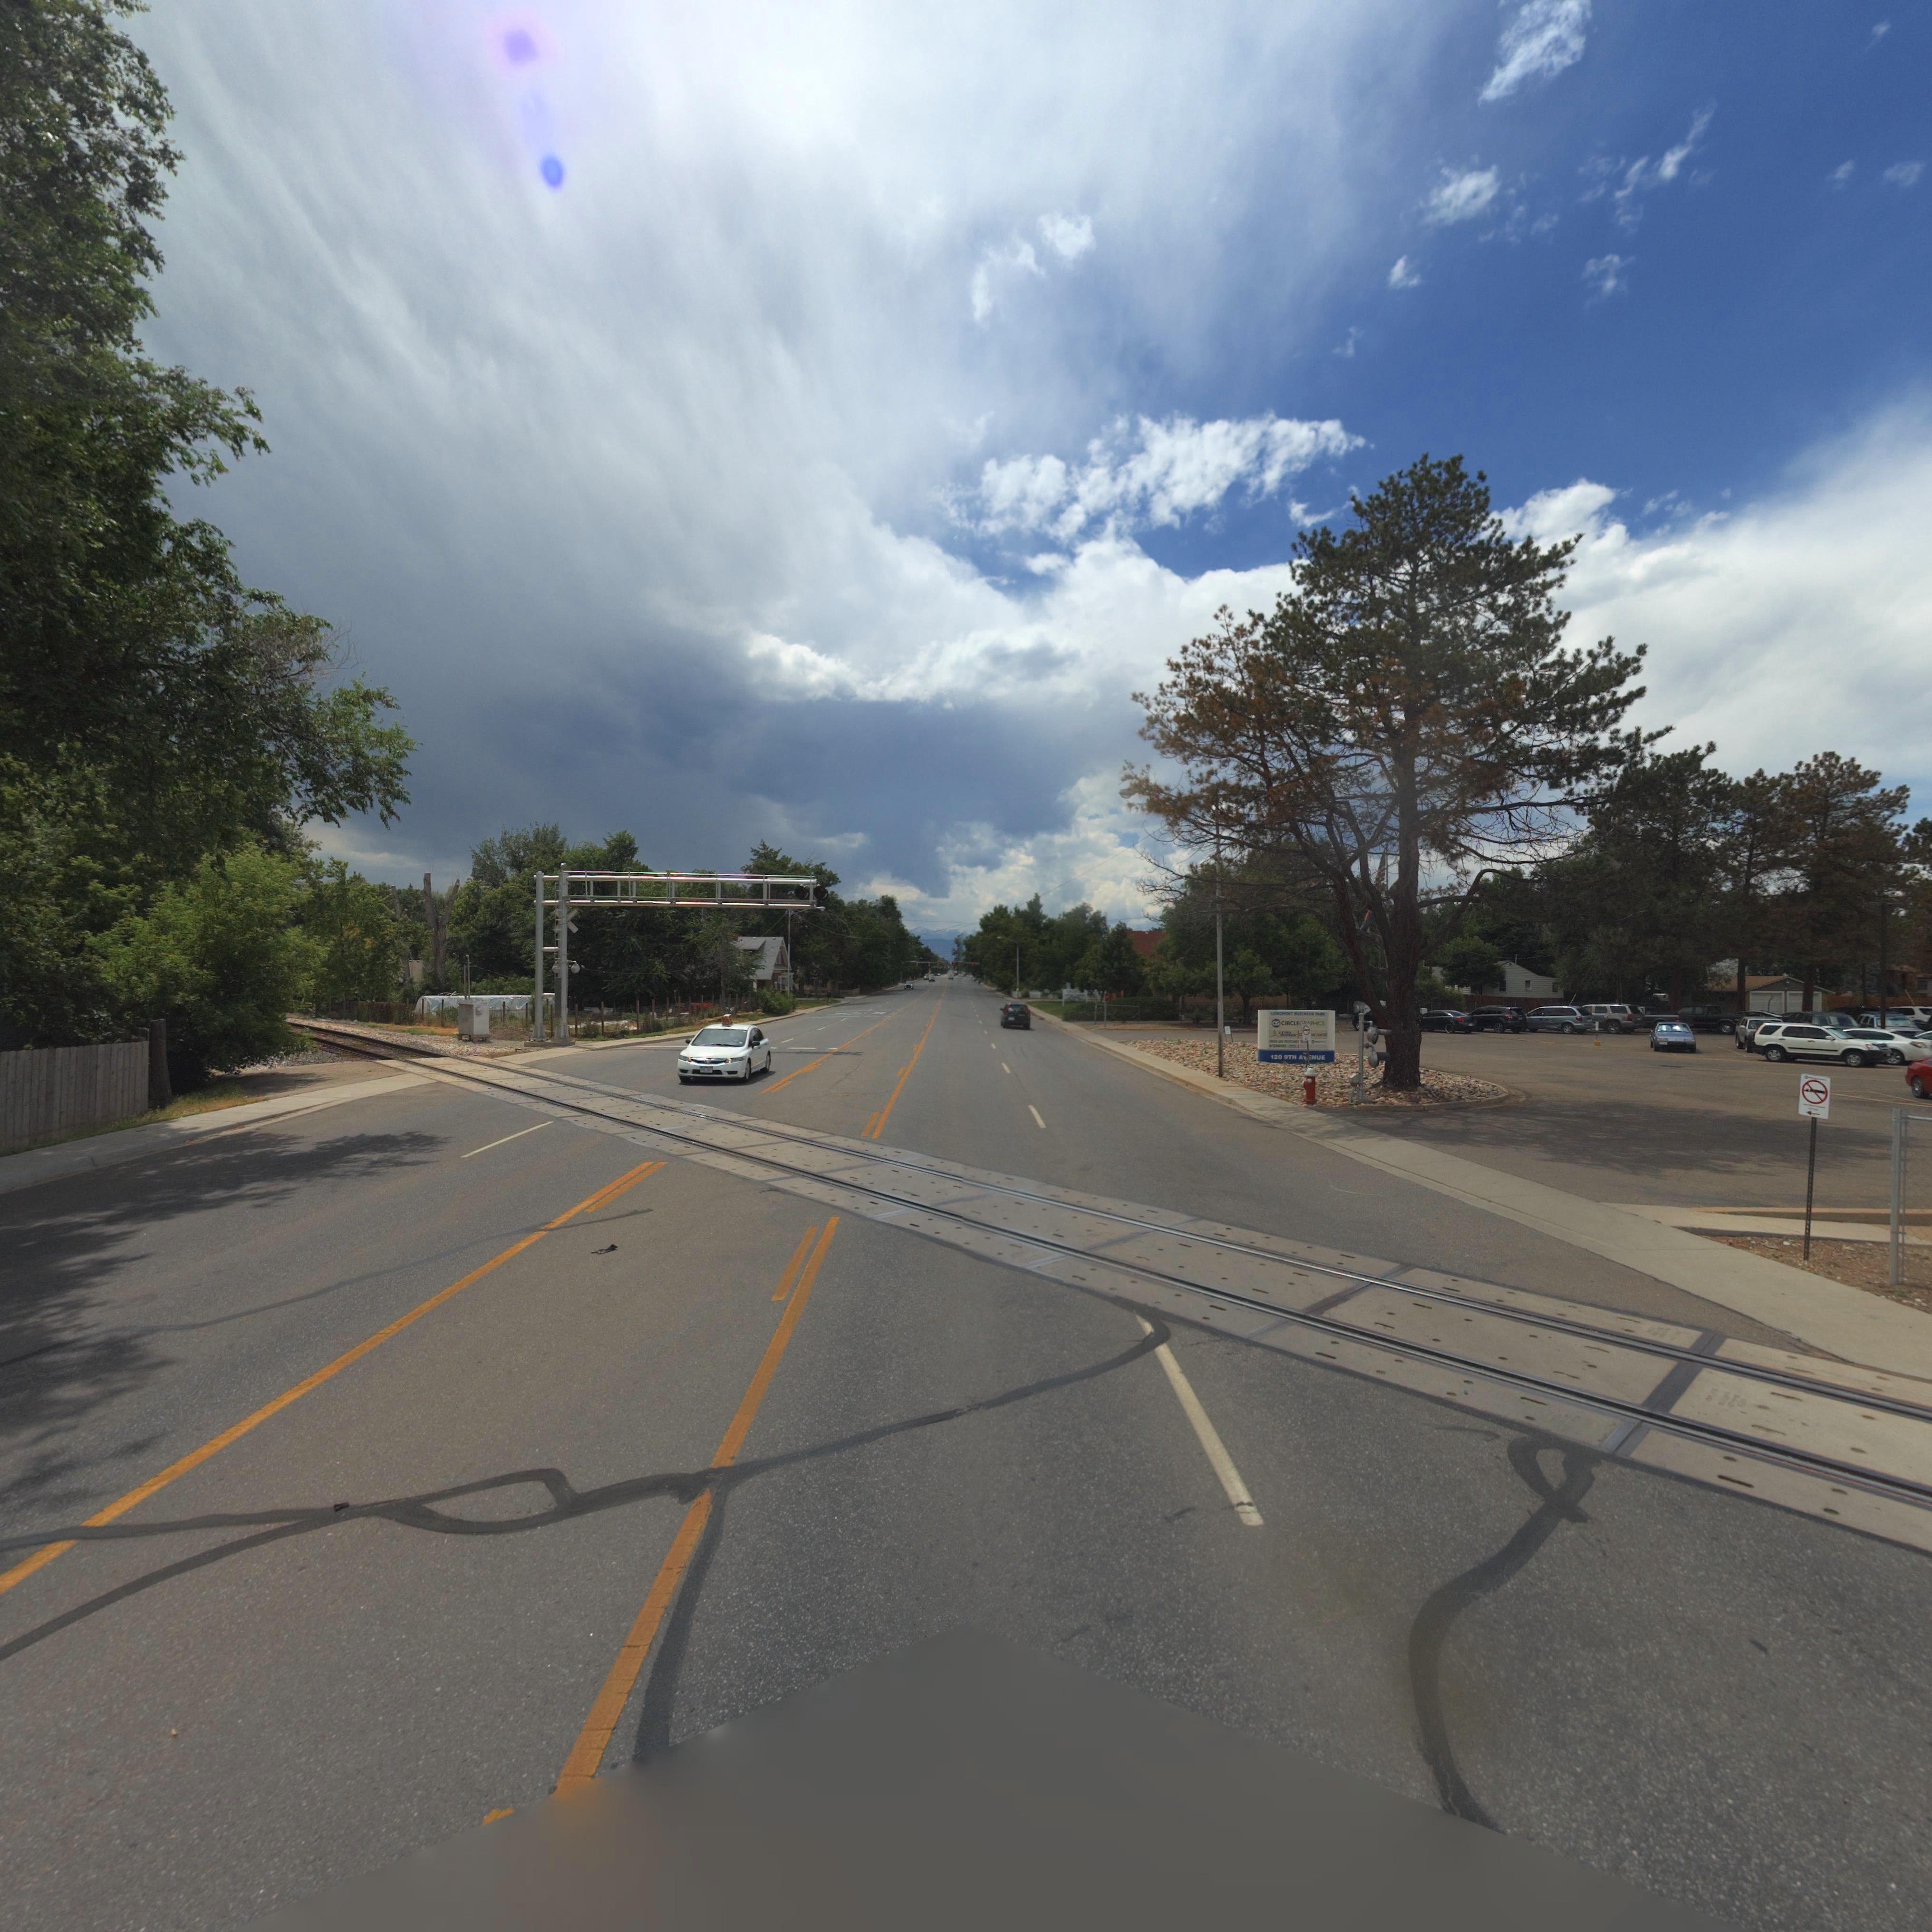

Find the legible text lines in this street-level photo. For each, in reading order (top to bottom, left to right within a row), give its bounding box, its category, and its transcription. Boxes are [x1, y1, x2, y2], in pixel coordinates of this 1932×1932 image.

[1272, 1020, 1280, 1026] BusinessName: *G
[1280, 1020, 1325, 1026] BusinessName: CIRLEGRAPHICS
[1270, 1053, 1283, 1060] StreetNumber: 120
[1283, 1054, 1325, 1060] StreetName: 9TH A**NUE